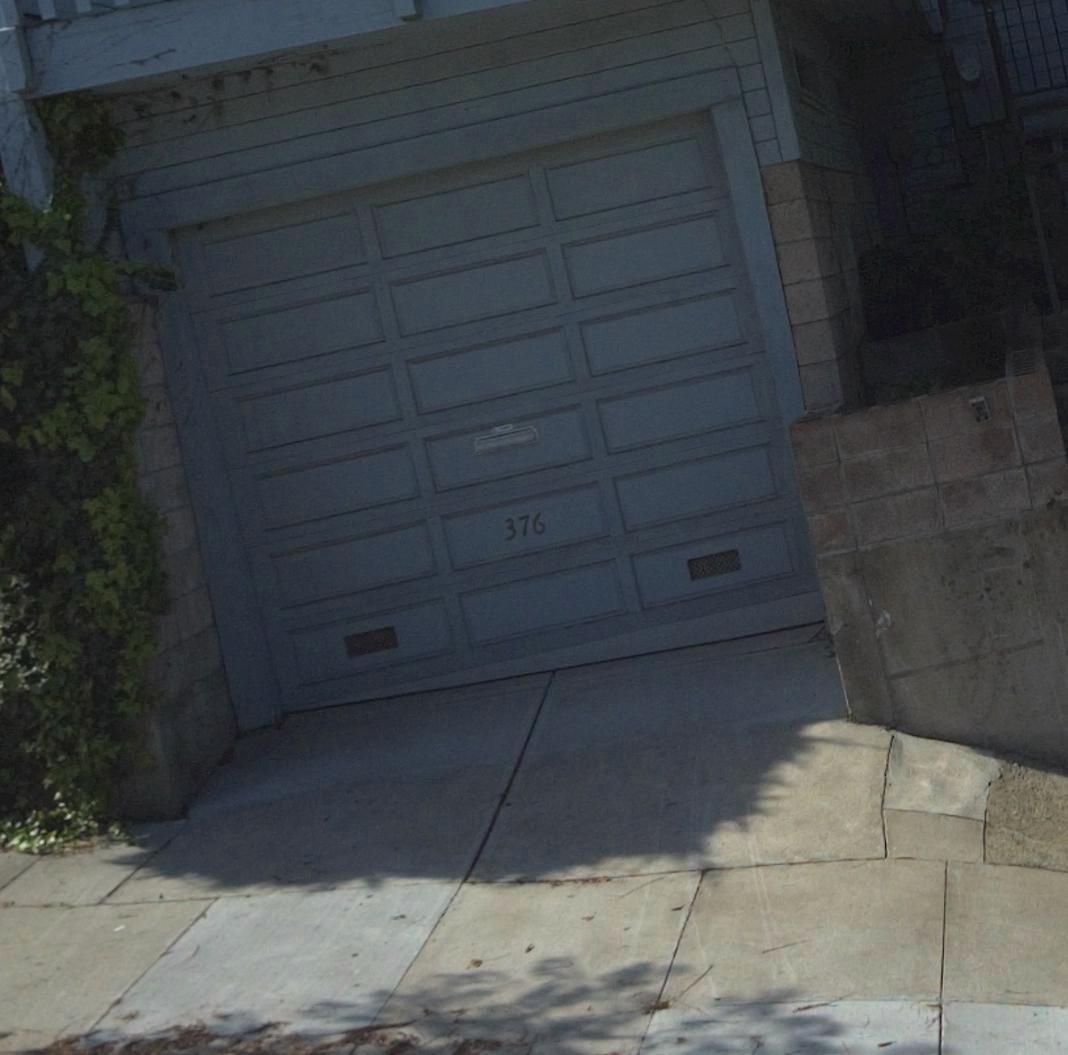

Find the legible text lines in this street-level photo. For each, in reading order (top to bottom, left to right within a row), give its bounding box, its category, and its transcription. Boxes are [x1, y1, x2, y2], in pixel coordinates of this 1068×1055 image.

[504, 510, 547, 543] StreetNumber: 376